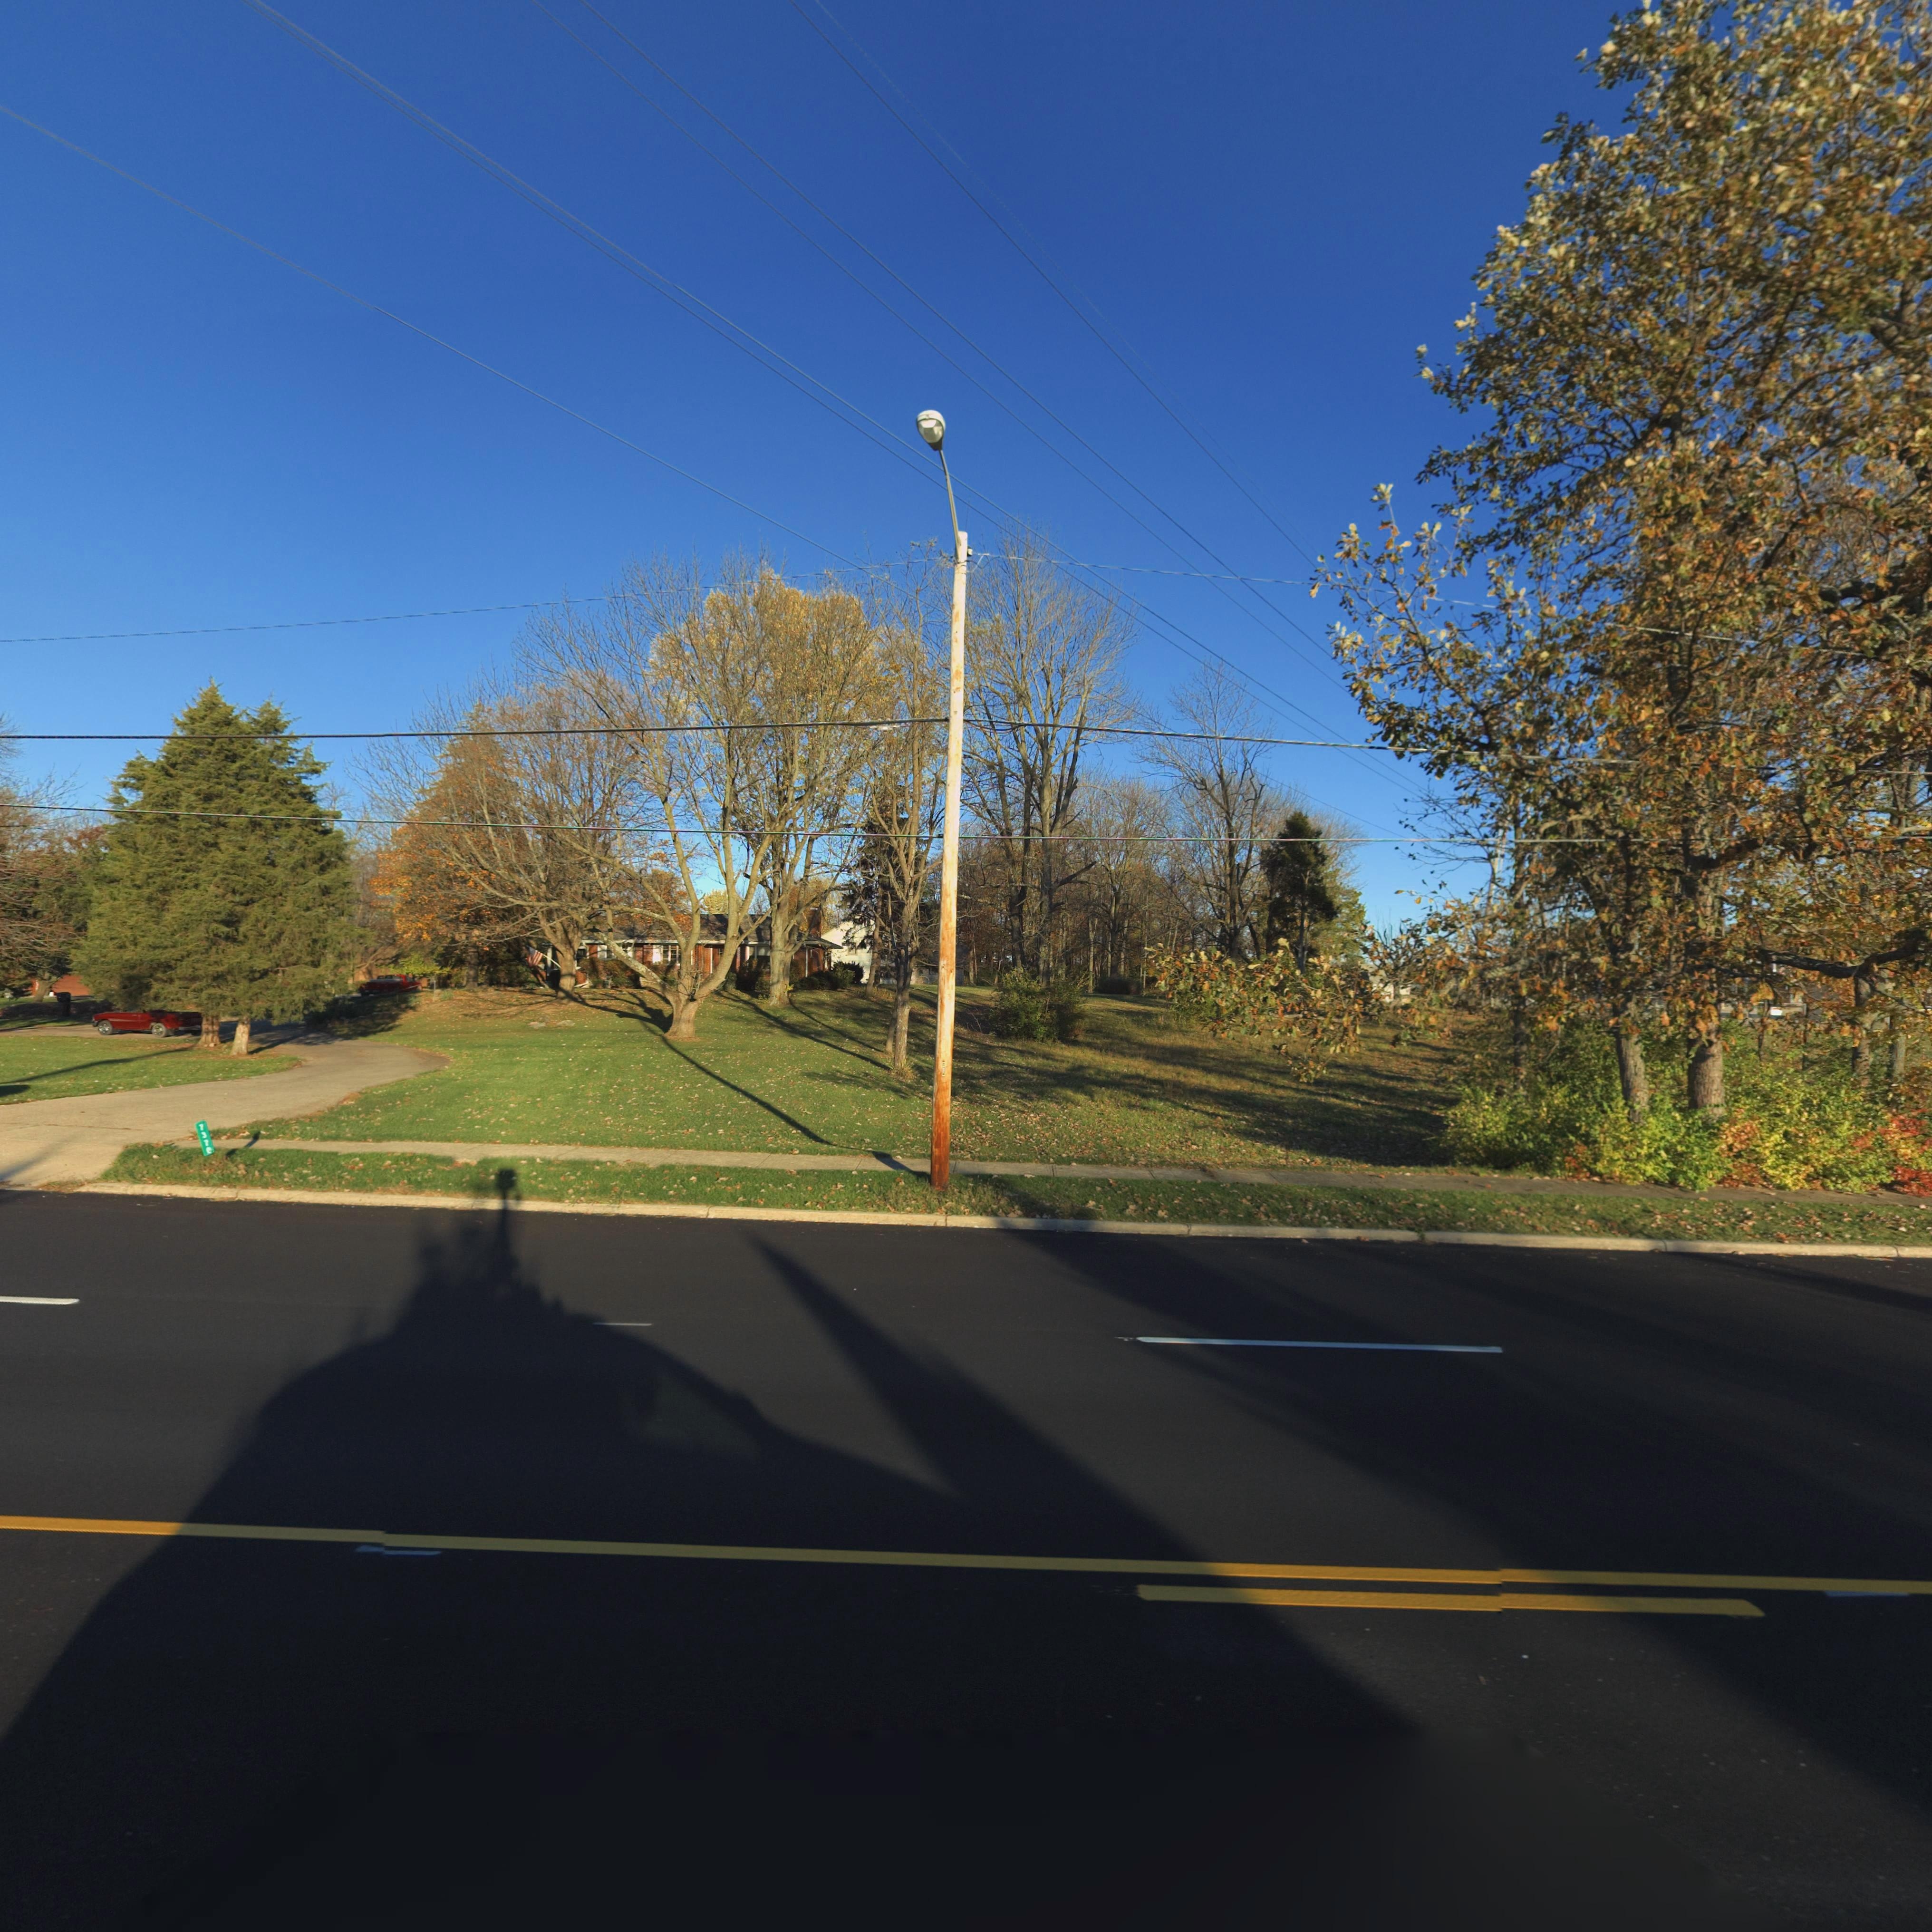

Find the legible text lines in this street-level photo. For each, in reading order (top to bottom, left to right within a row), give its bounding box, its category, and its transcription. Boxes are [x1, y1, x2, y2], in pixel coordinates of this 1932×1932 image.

[198, 1123, 214, 1156] StreetNumber: 7378